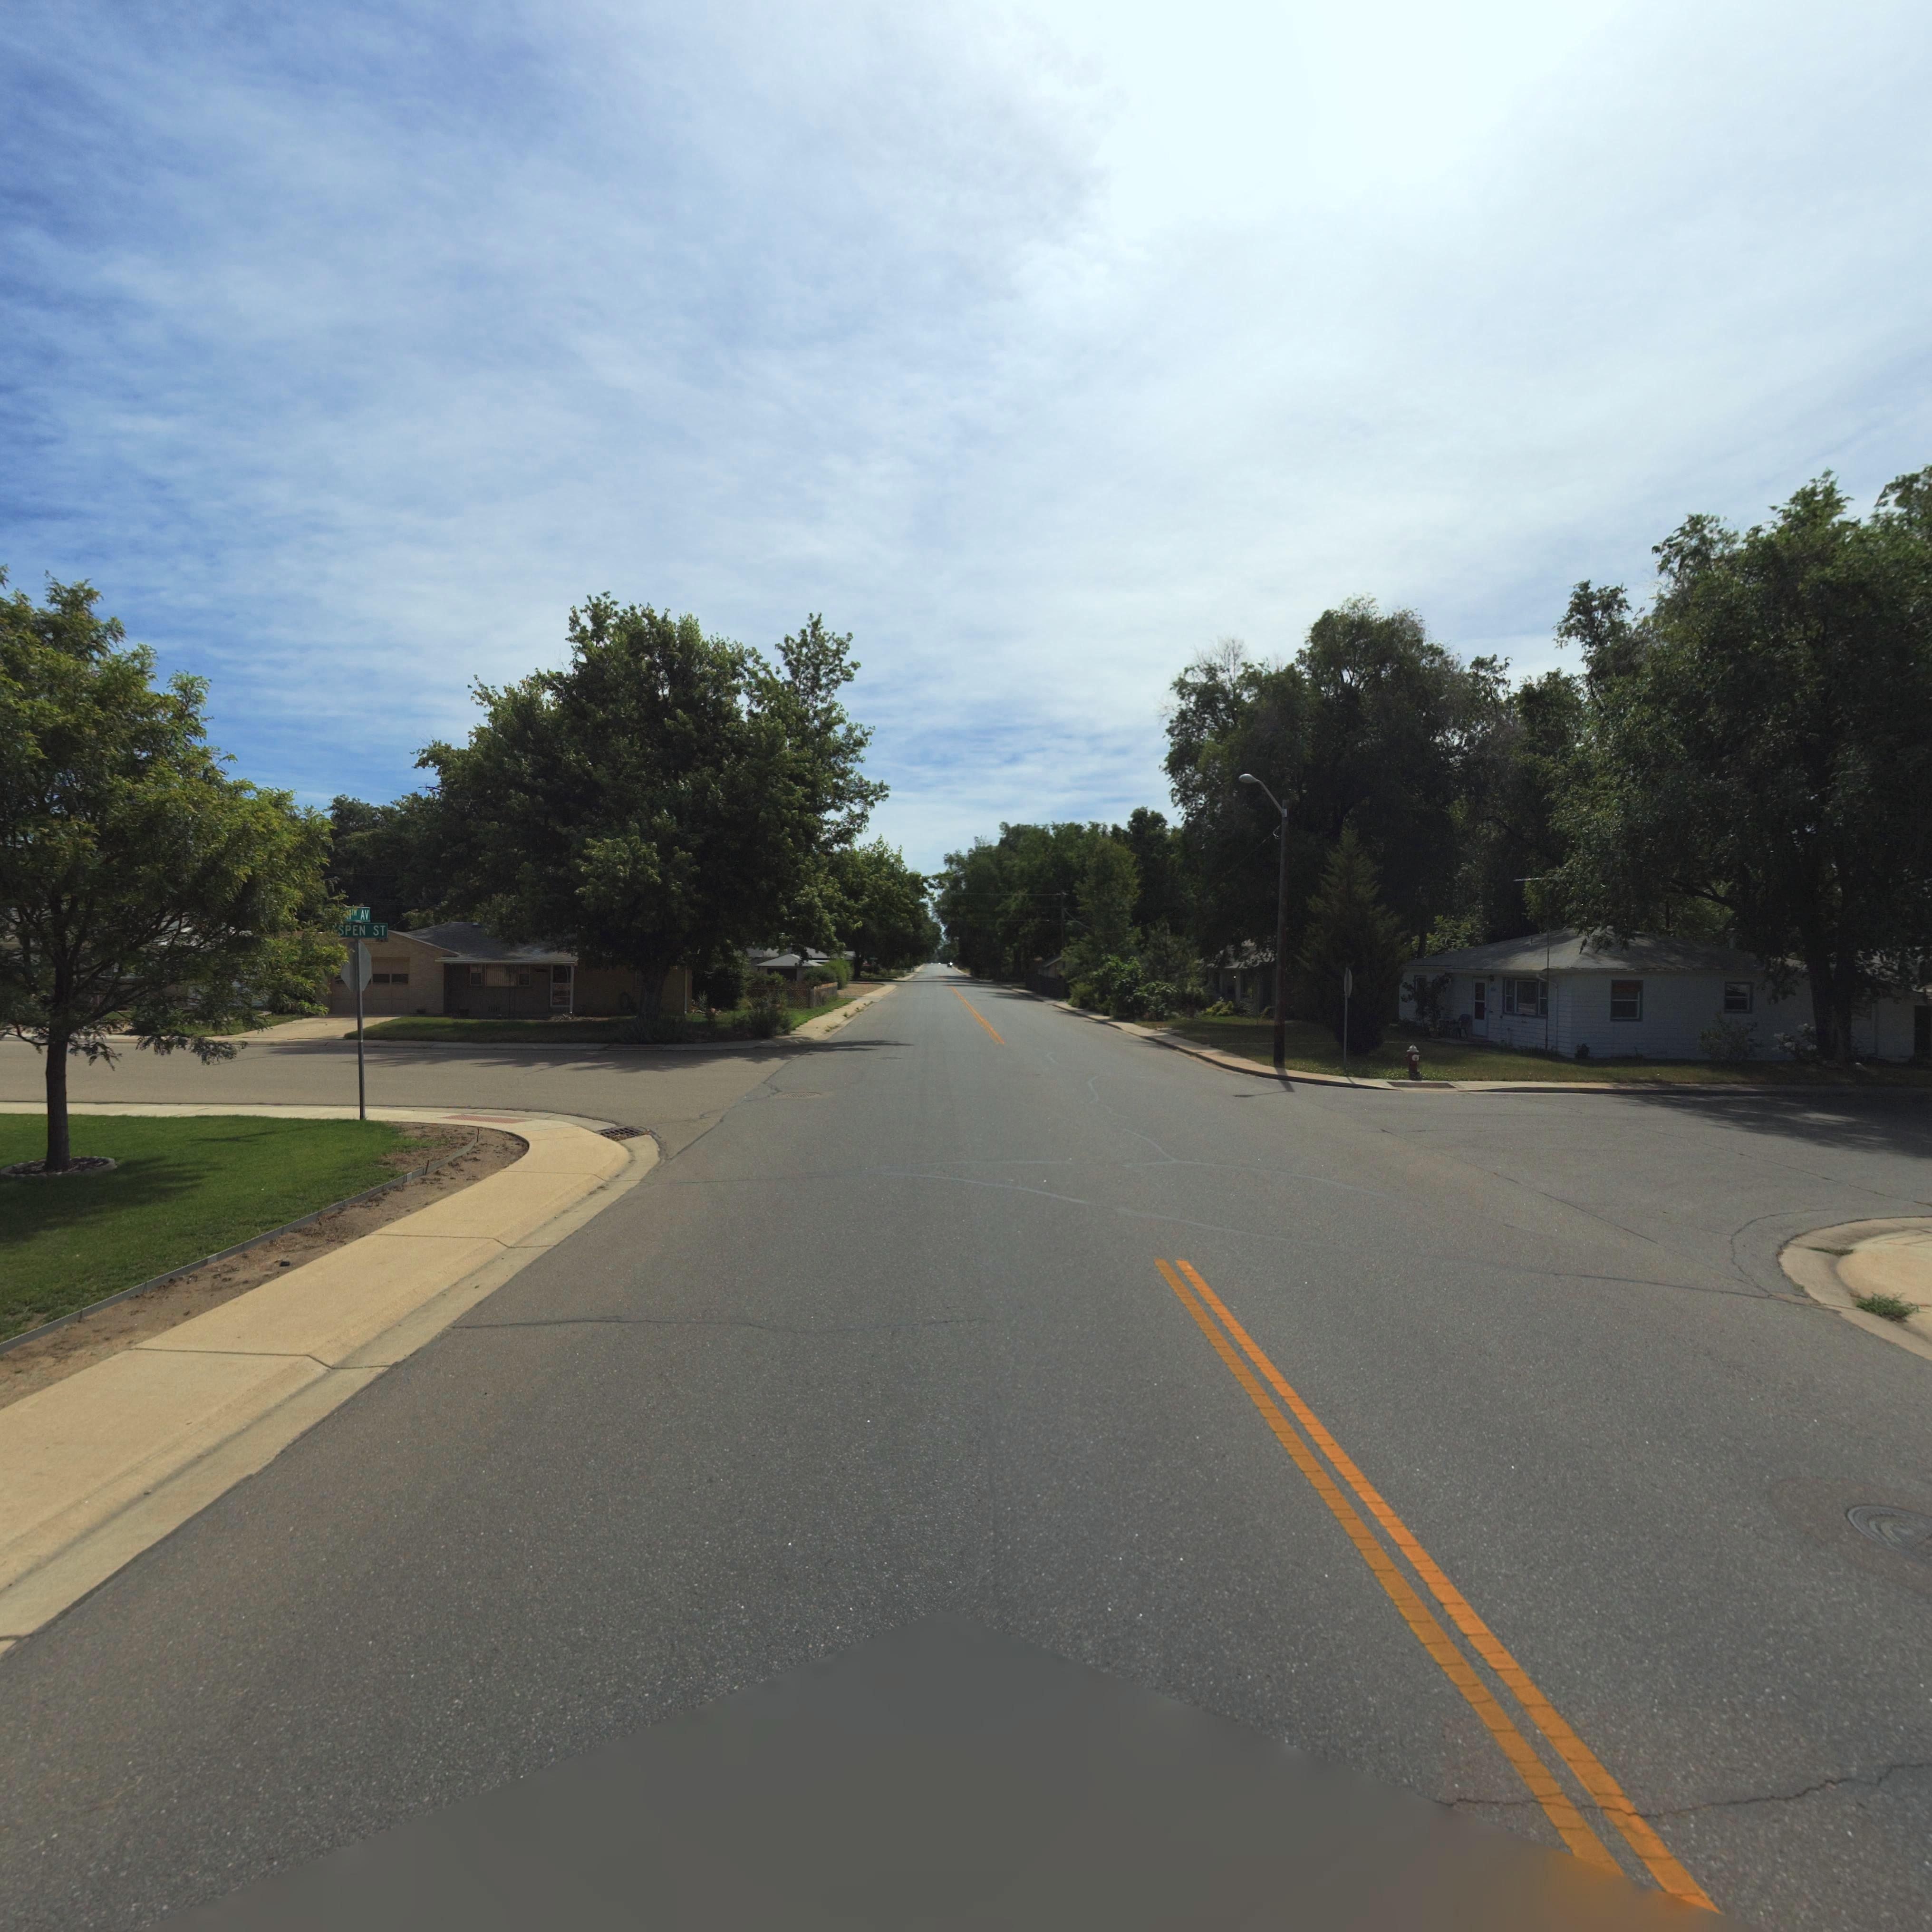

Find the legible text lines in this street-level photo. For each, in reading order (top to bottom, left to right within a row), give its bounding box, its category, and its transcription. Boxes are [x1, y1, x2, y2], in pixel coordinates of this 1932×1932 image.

[346, 908, 369, 920] StreetName: *1TH AV
[337, 924, 385, 936] StreetName: SPEN ST